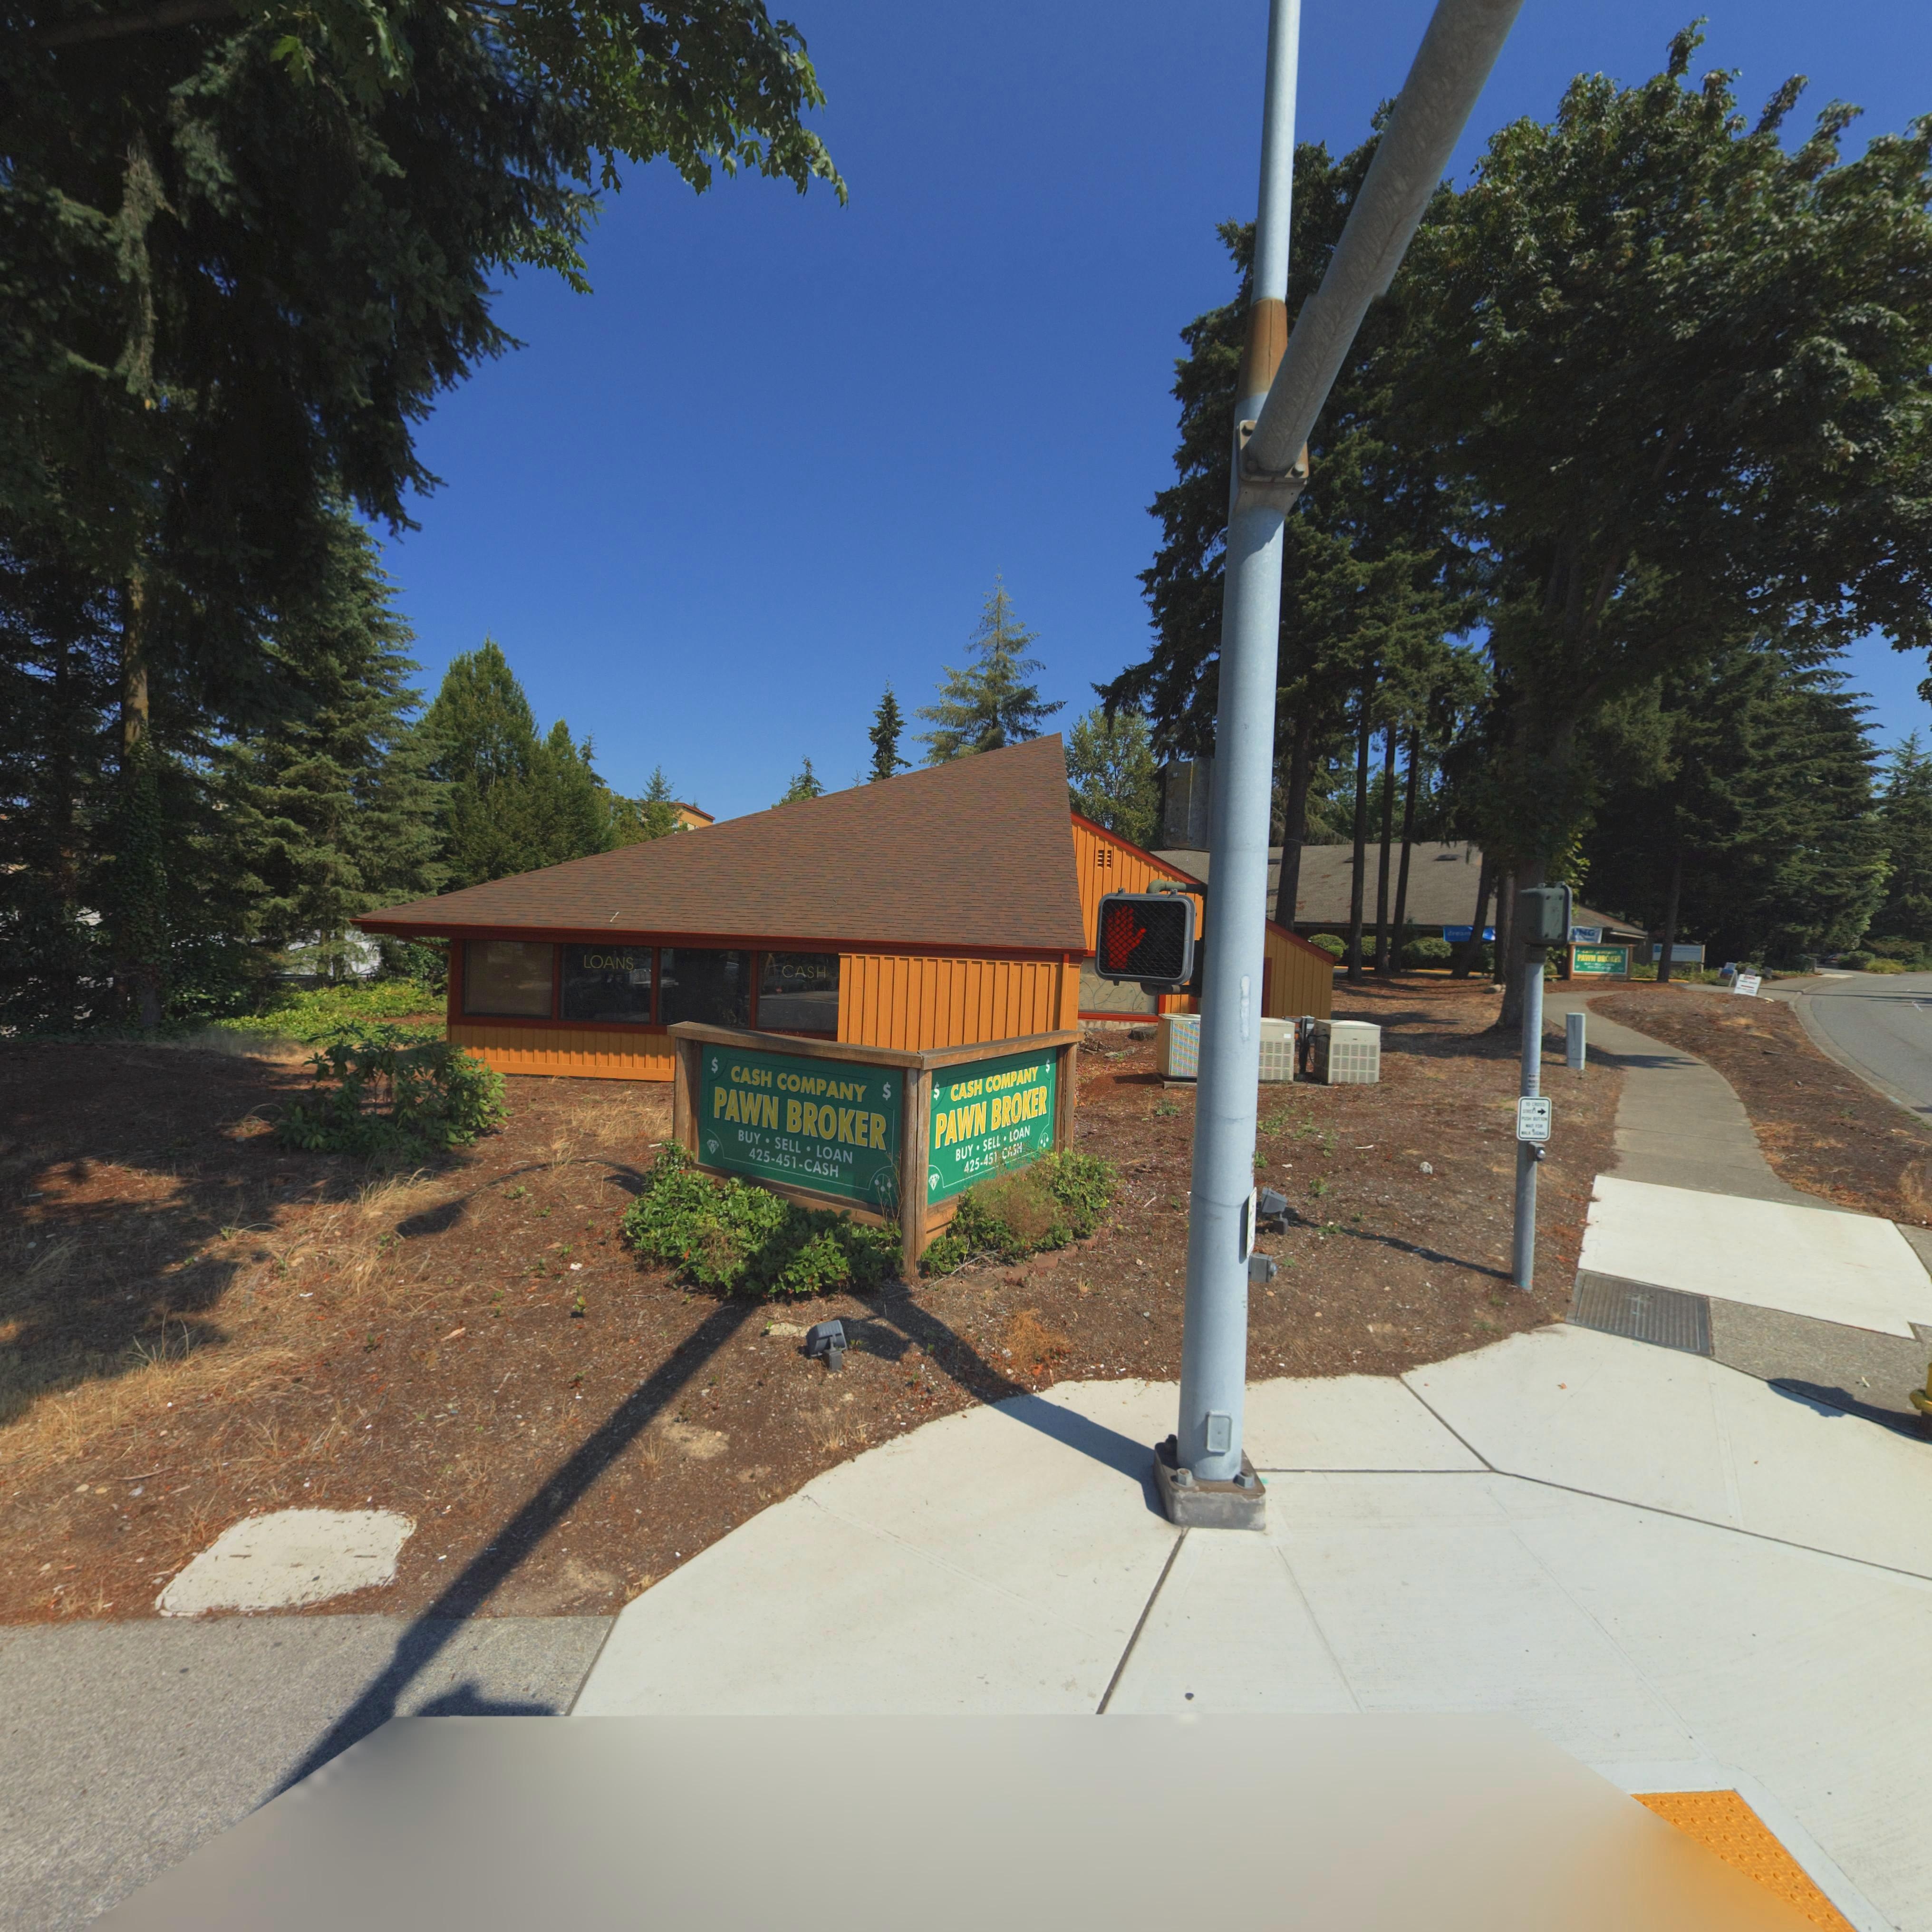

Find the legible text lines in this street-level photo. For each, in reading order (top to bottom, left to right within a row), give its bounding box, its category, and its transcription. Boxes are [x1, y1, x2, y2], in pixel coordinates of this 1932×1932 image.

[730, 1064, 869, 1103] BusinessName: CASH COMPANY
[950, 1065, 1039, 1102] BusinessName: CASH COMPANY
[714, 1086, 888, 1150] BusinessName: PAWN BROKER
[935, 1084, 1048, 1150] BusinessName: PAWN BROKER